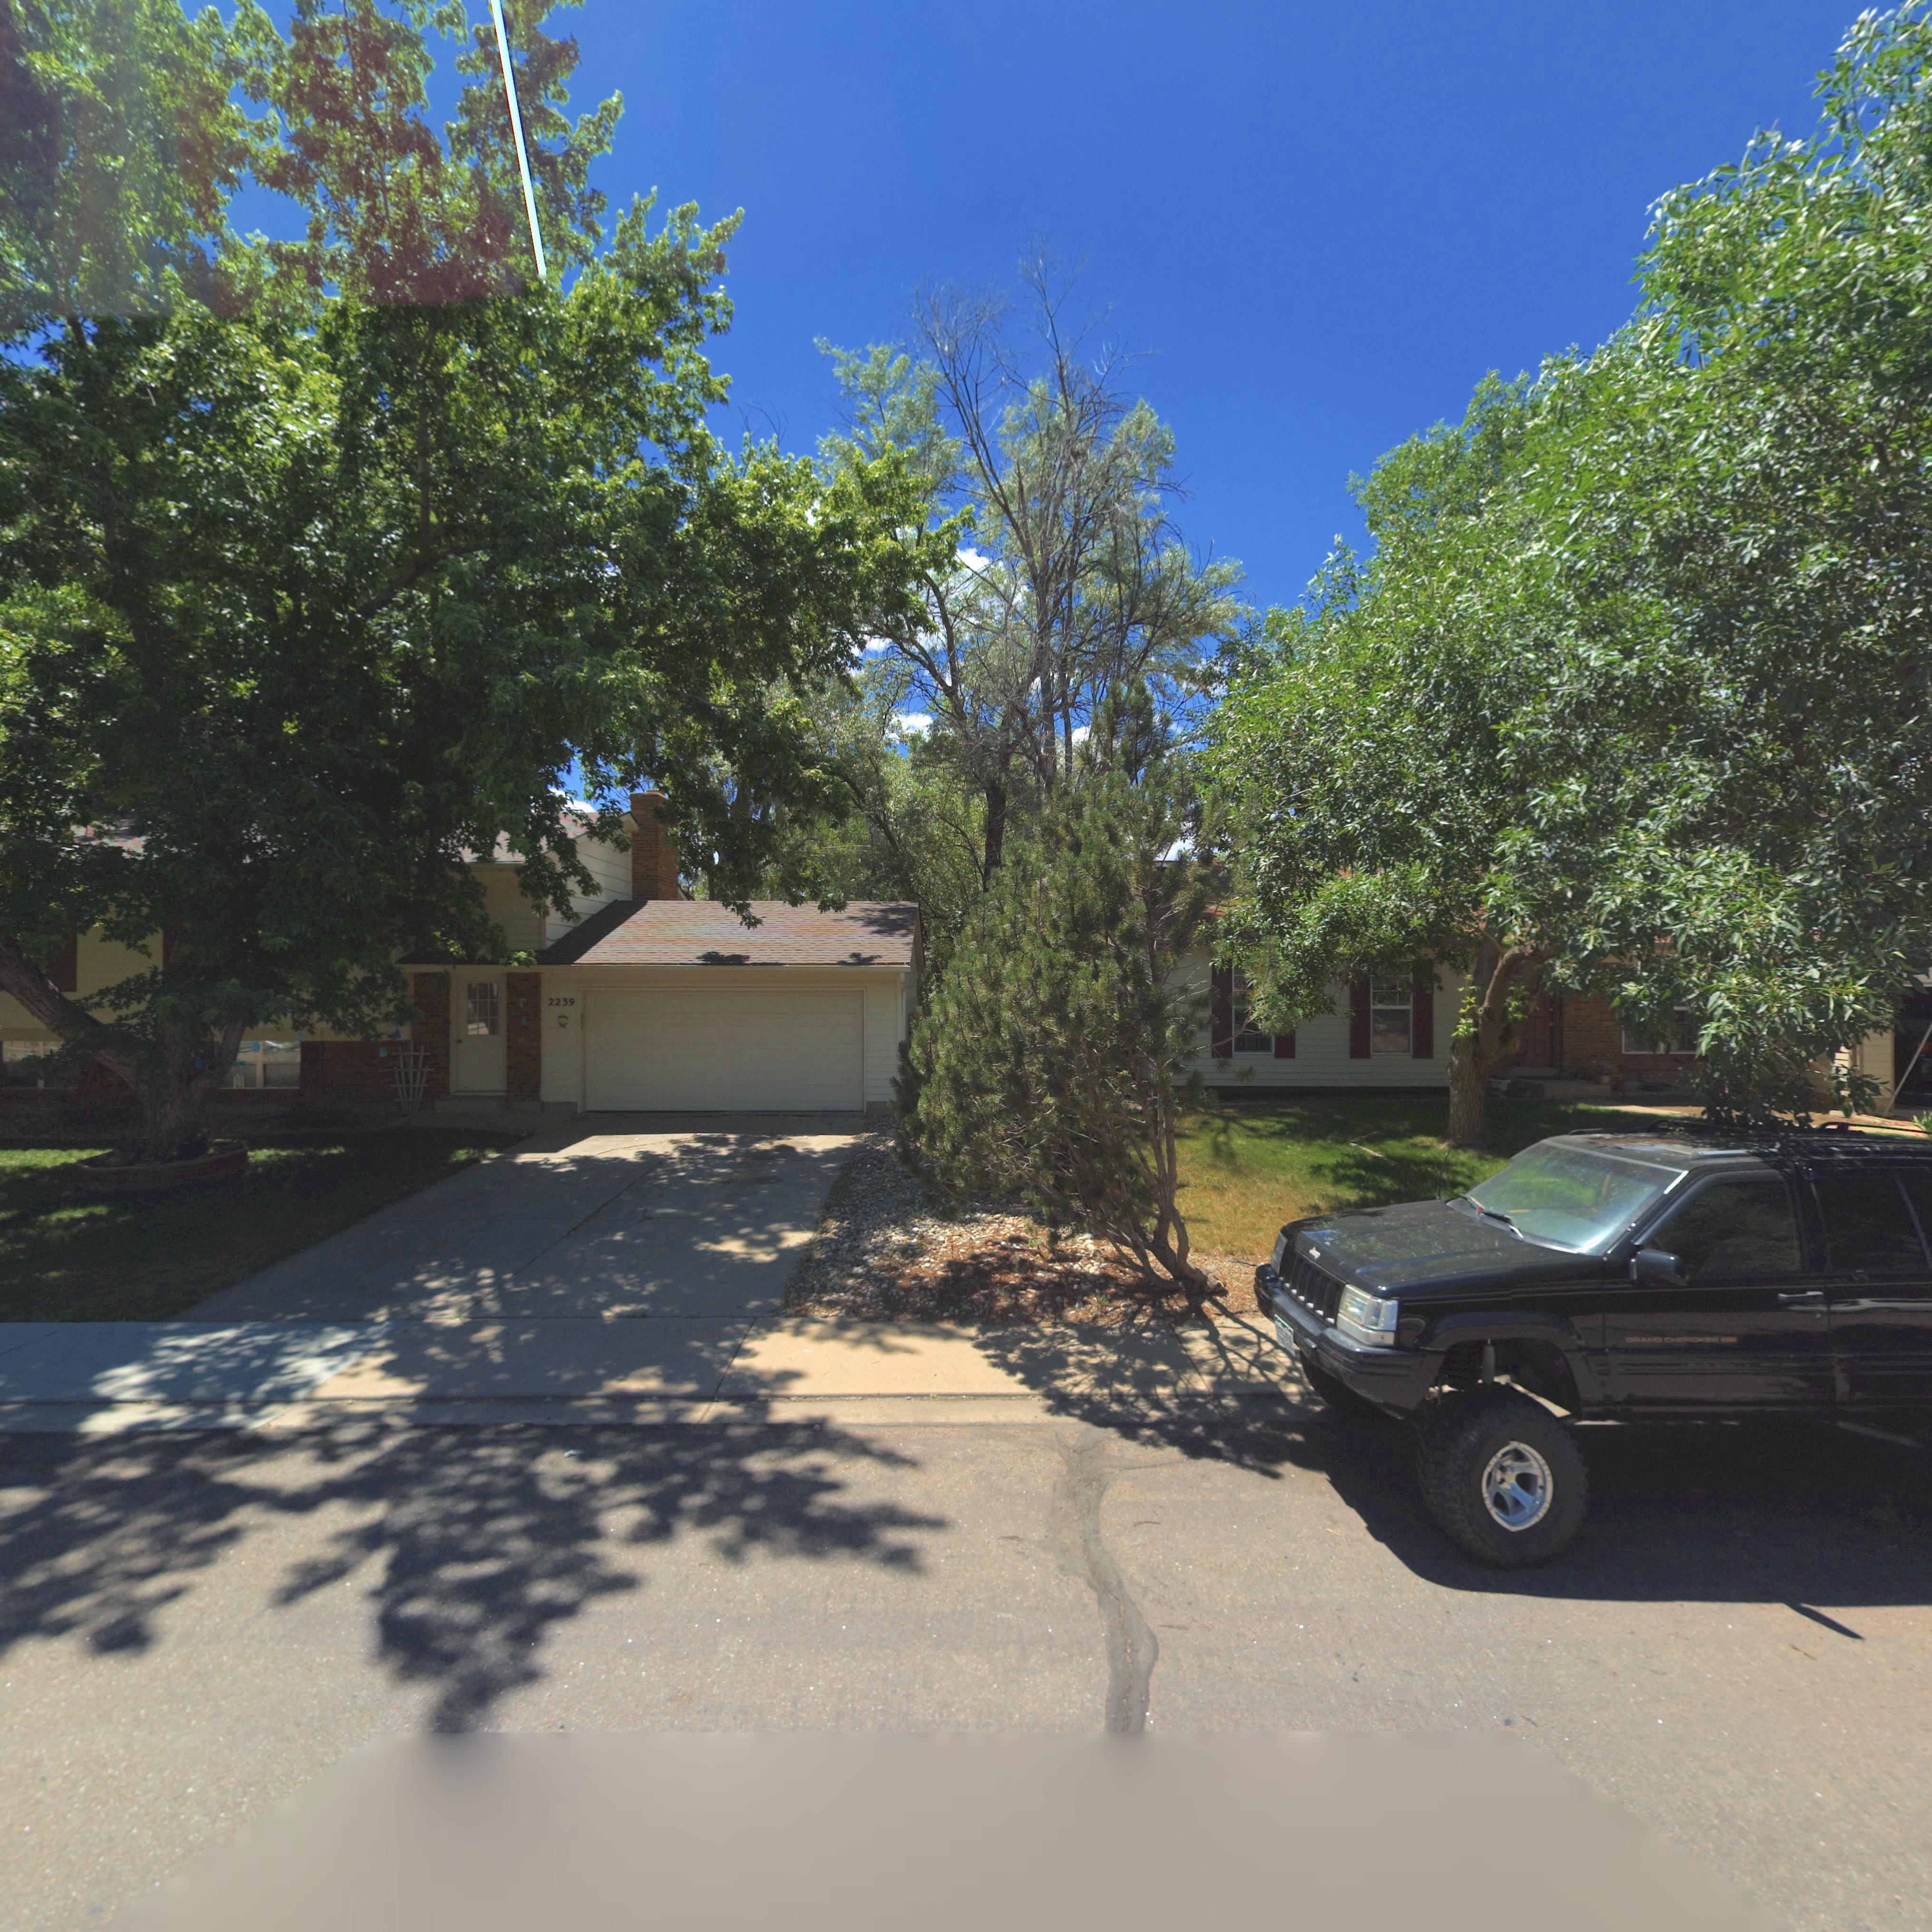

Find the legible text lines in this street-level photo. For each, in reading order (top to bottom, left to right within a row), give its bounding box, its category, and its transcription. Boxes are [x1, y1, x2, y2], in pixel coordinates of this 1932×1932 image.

[547, 997, 576, 1007] StreetNumber: 2239